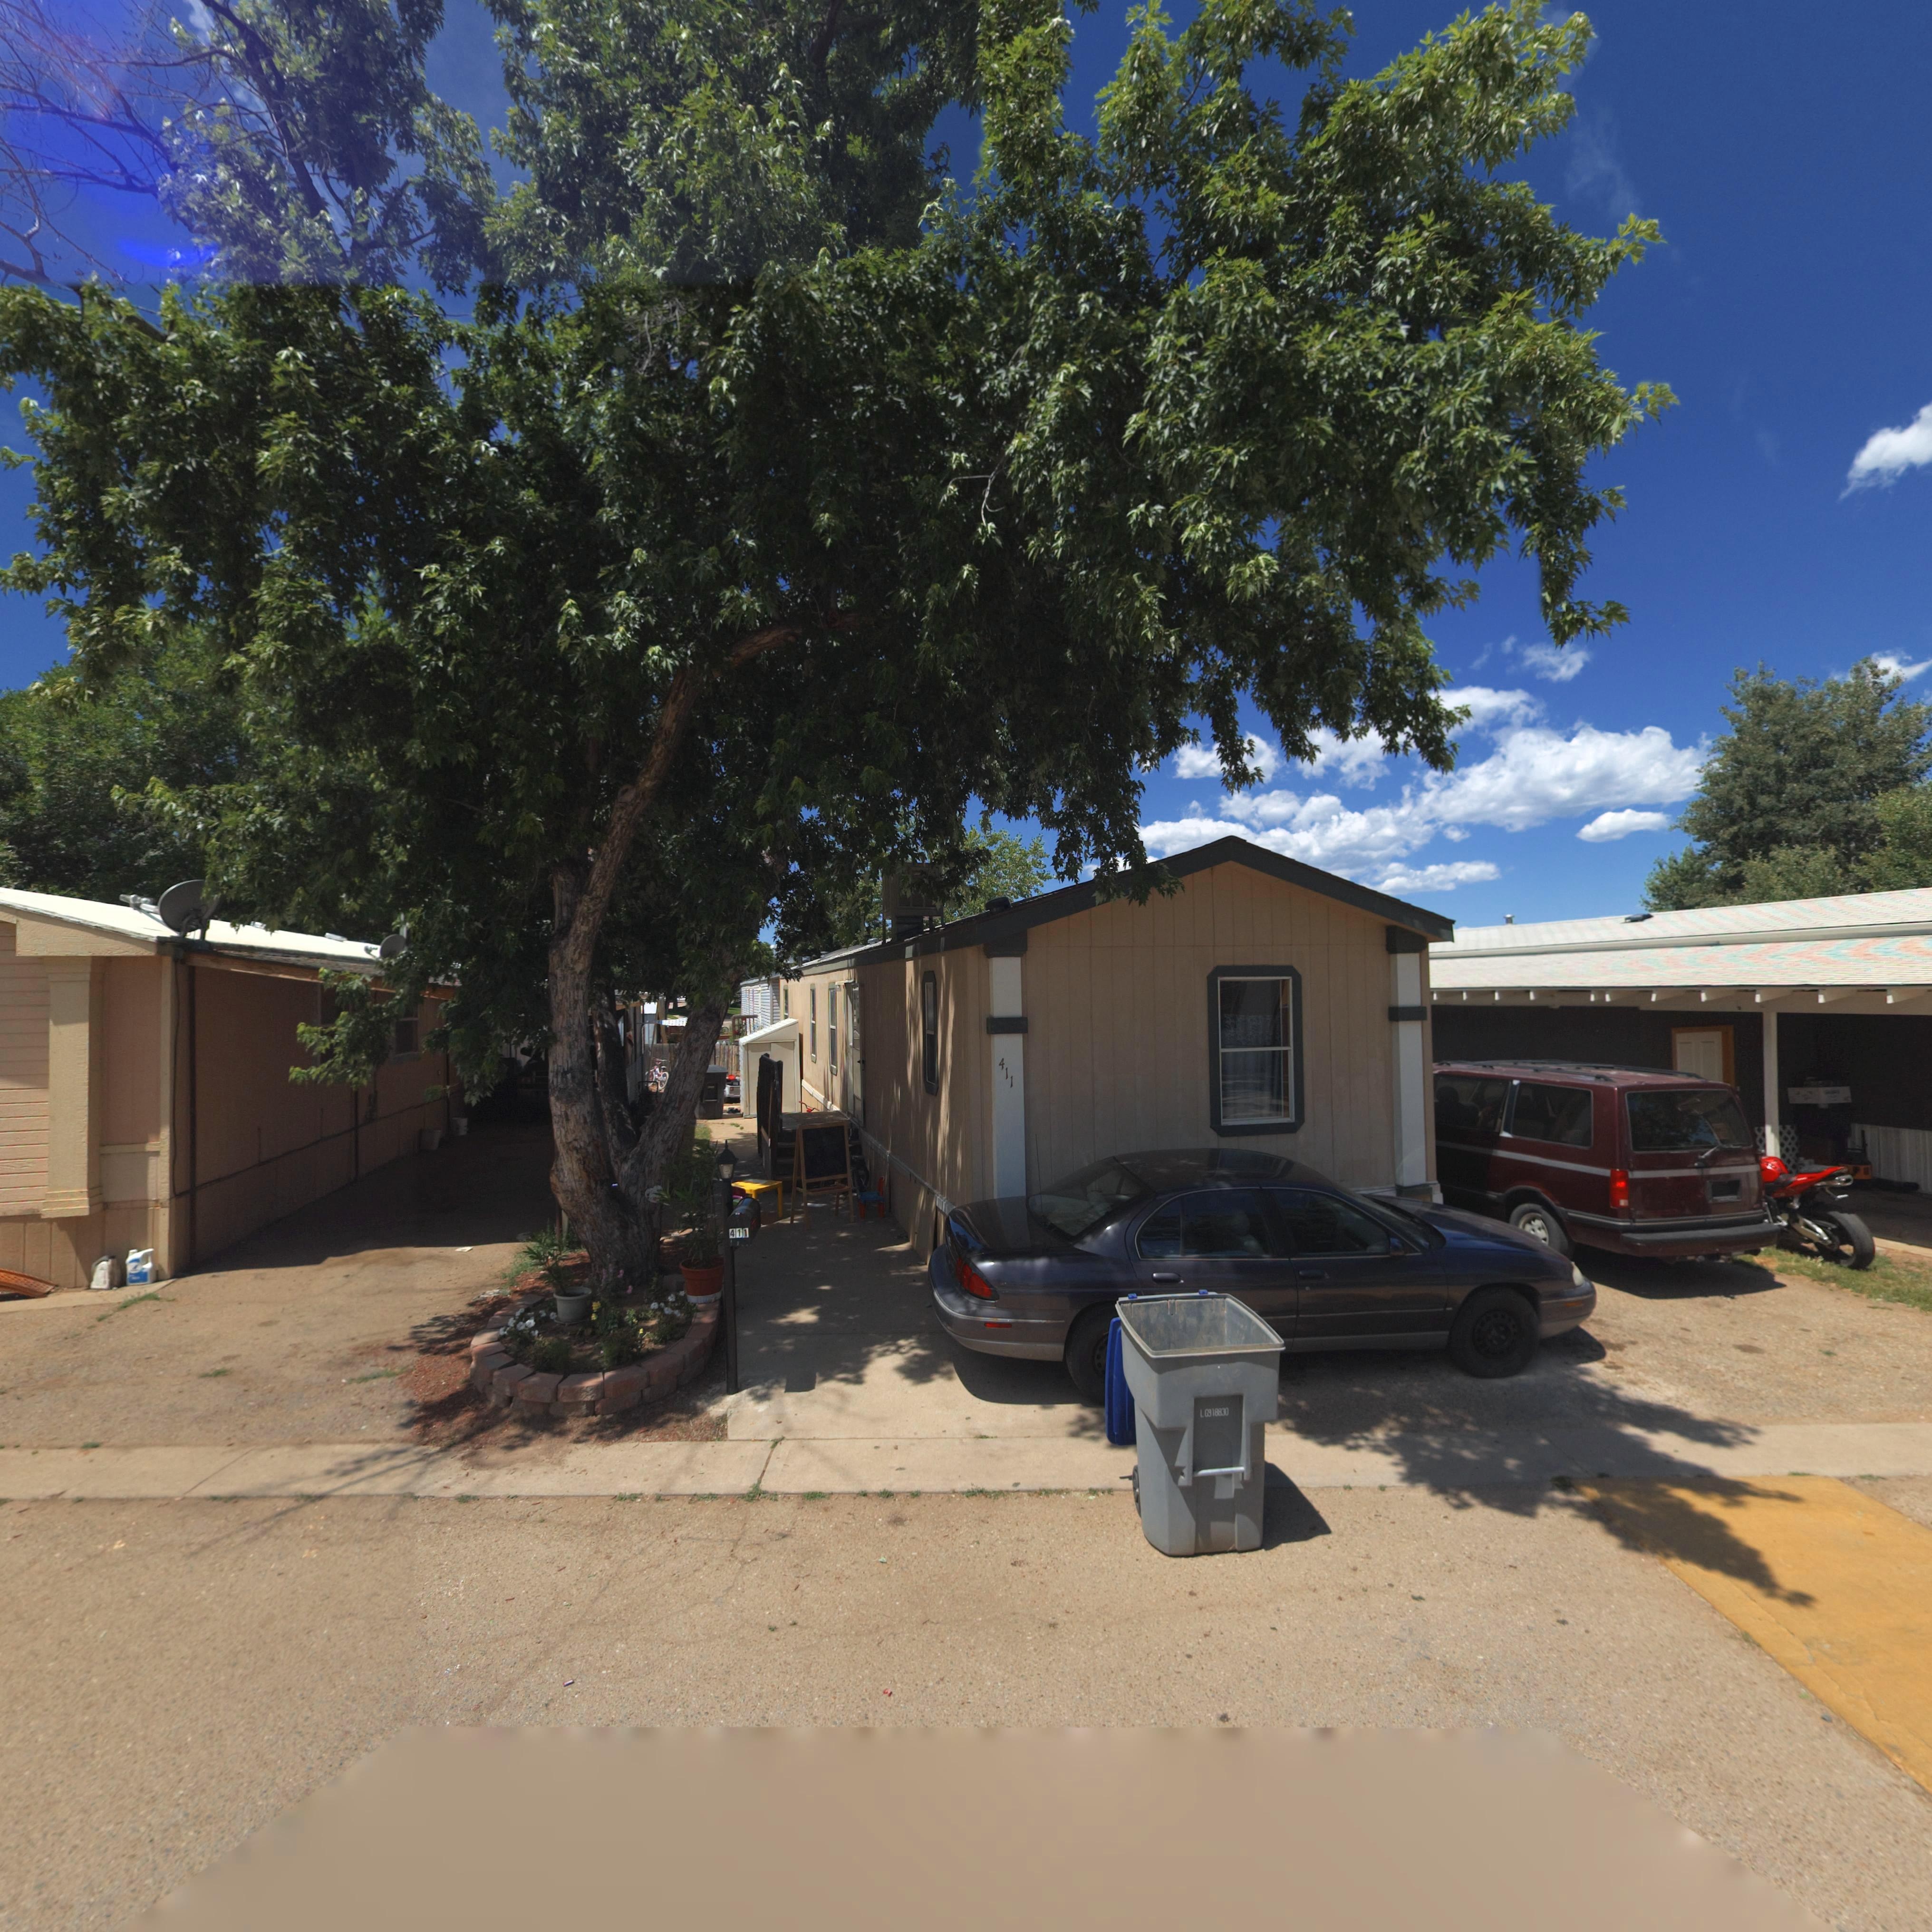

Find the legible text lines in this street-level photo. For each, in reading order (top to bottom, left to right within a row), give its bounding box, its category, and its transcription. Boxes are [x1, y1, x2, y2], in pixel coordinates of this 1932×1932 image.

[998, 1057, 1013, 1088] StreetNumber: 411
[730, 1228, 747, 1237] StreetNumber: 411